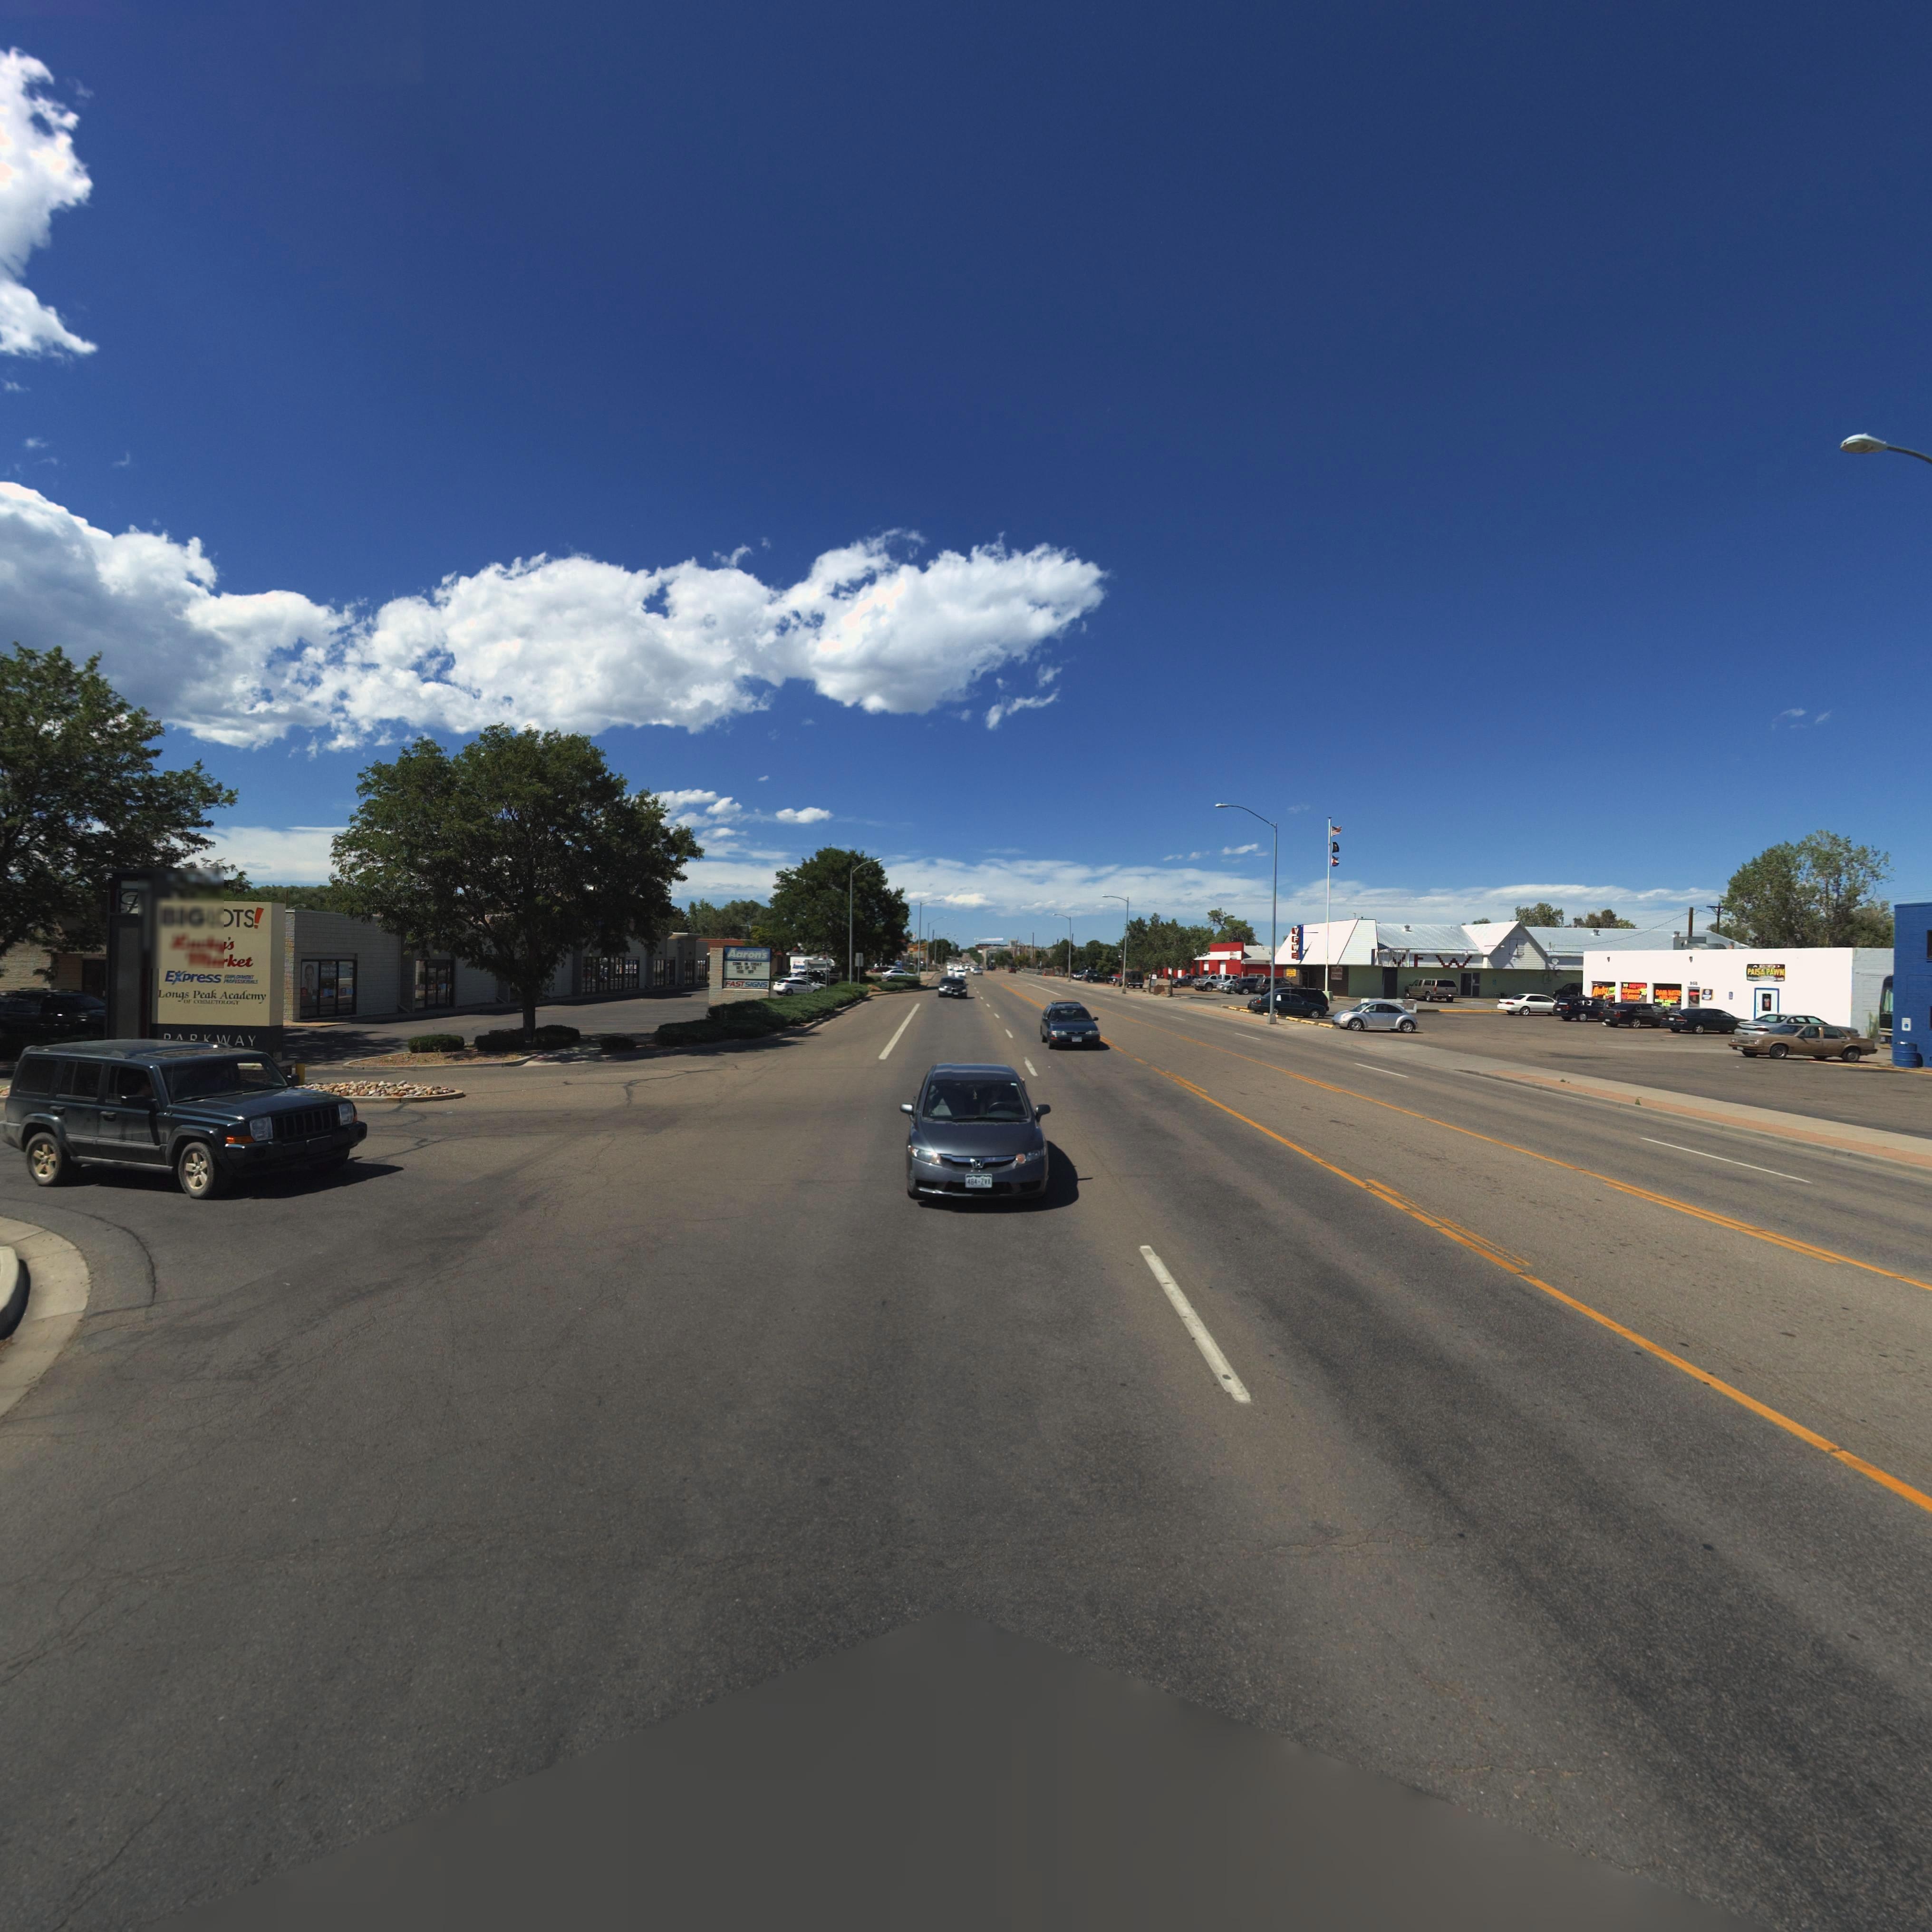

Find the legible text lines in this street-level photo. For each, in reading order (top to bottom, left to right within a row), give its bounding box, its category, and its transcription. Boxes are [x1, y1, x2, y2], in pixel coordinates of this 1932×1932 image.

[160, 907, 255, 928] BusinessName: BIGLOTS
[170, 932, 235, 956] BusinessName: Lucky*s
[1292, 927, 1299, 951] BusinessName: VFW
[185, 950, 254, 967] StreetName: Market
[726, 949, 767, 958] BusinessName: Aaron*s
[1389, 952, 1475, 968] BusinessName: *FW
[164, 969, 222, 986] BusinessName: E*press
[724, 980, 768, 987] BusinessName: FASTSIGNS
[1689, 981, 1698, 985] StreetNumber: 1**
[156, 988, 269, 1004] BusinessName: Longs Peak Academy
[1655, 988, 1681, 996] StreetNumber: 1**